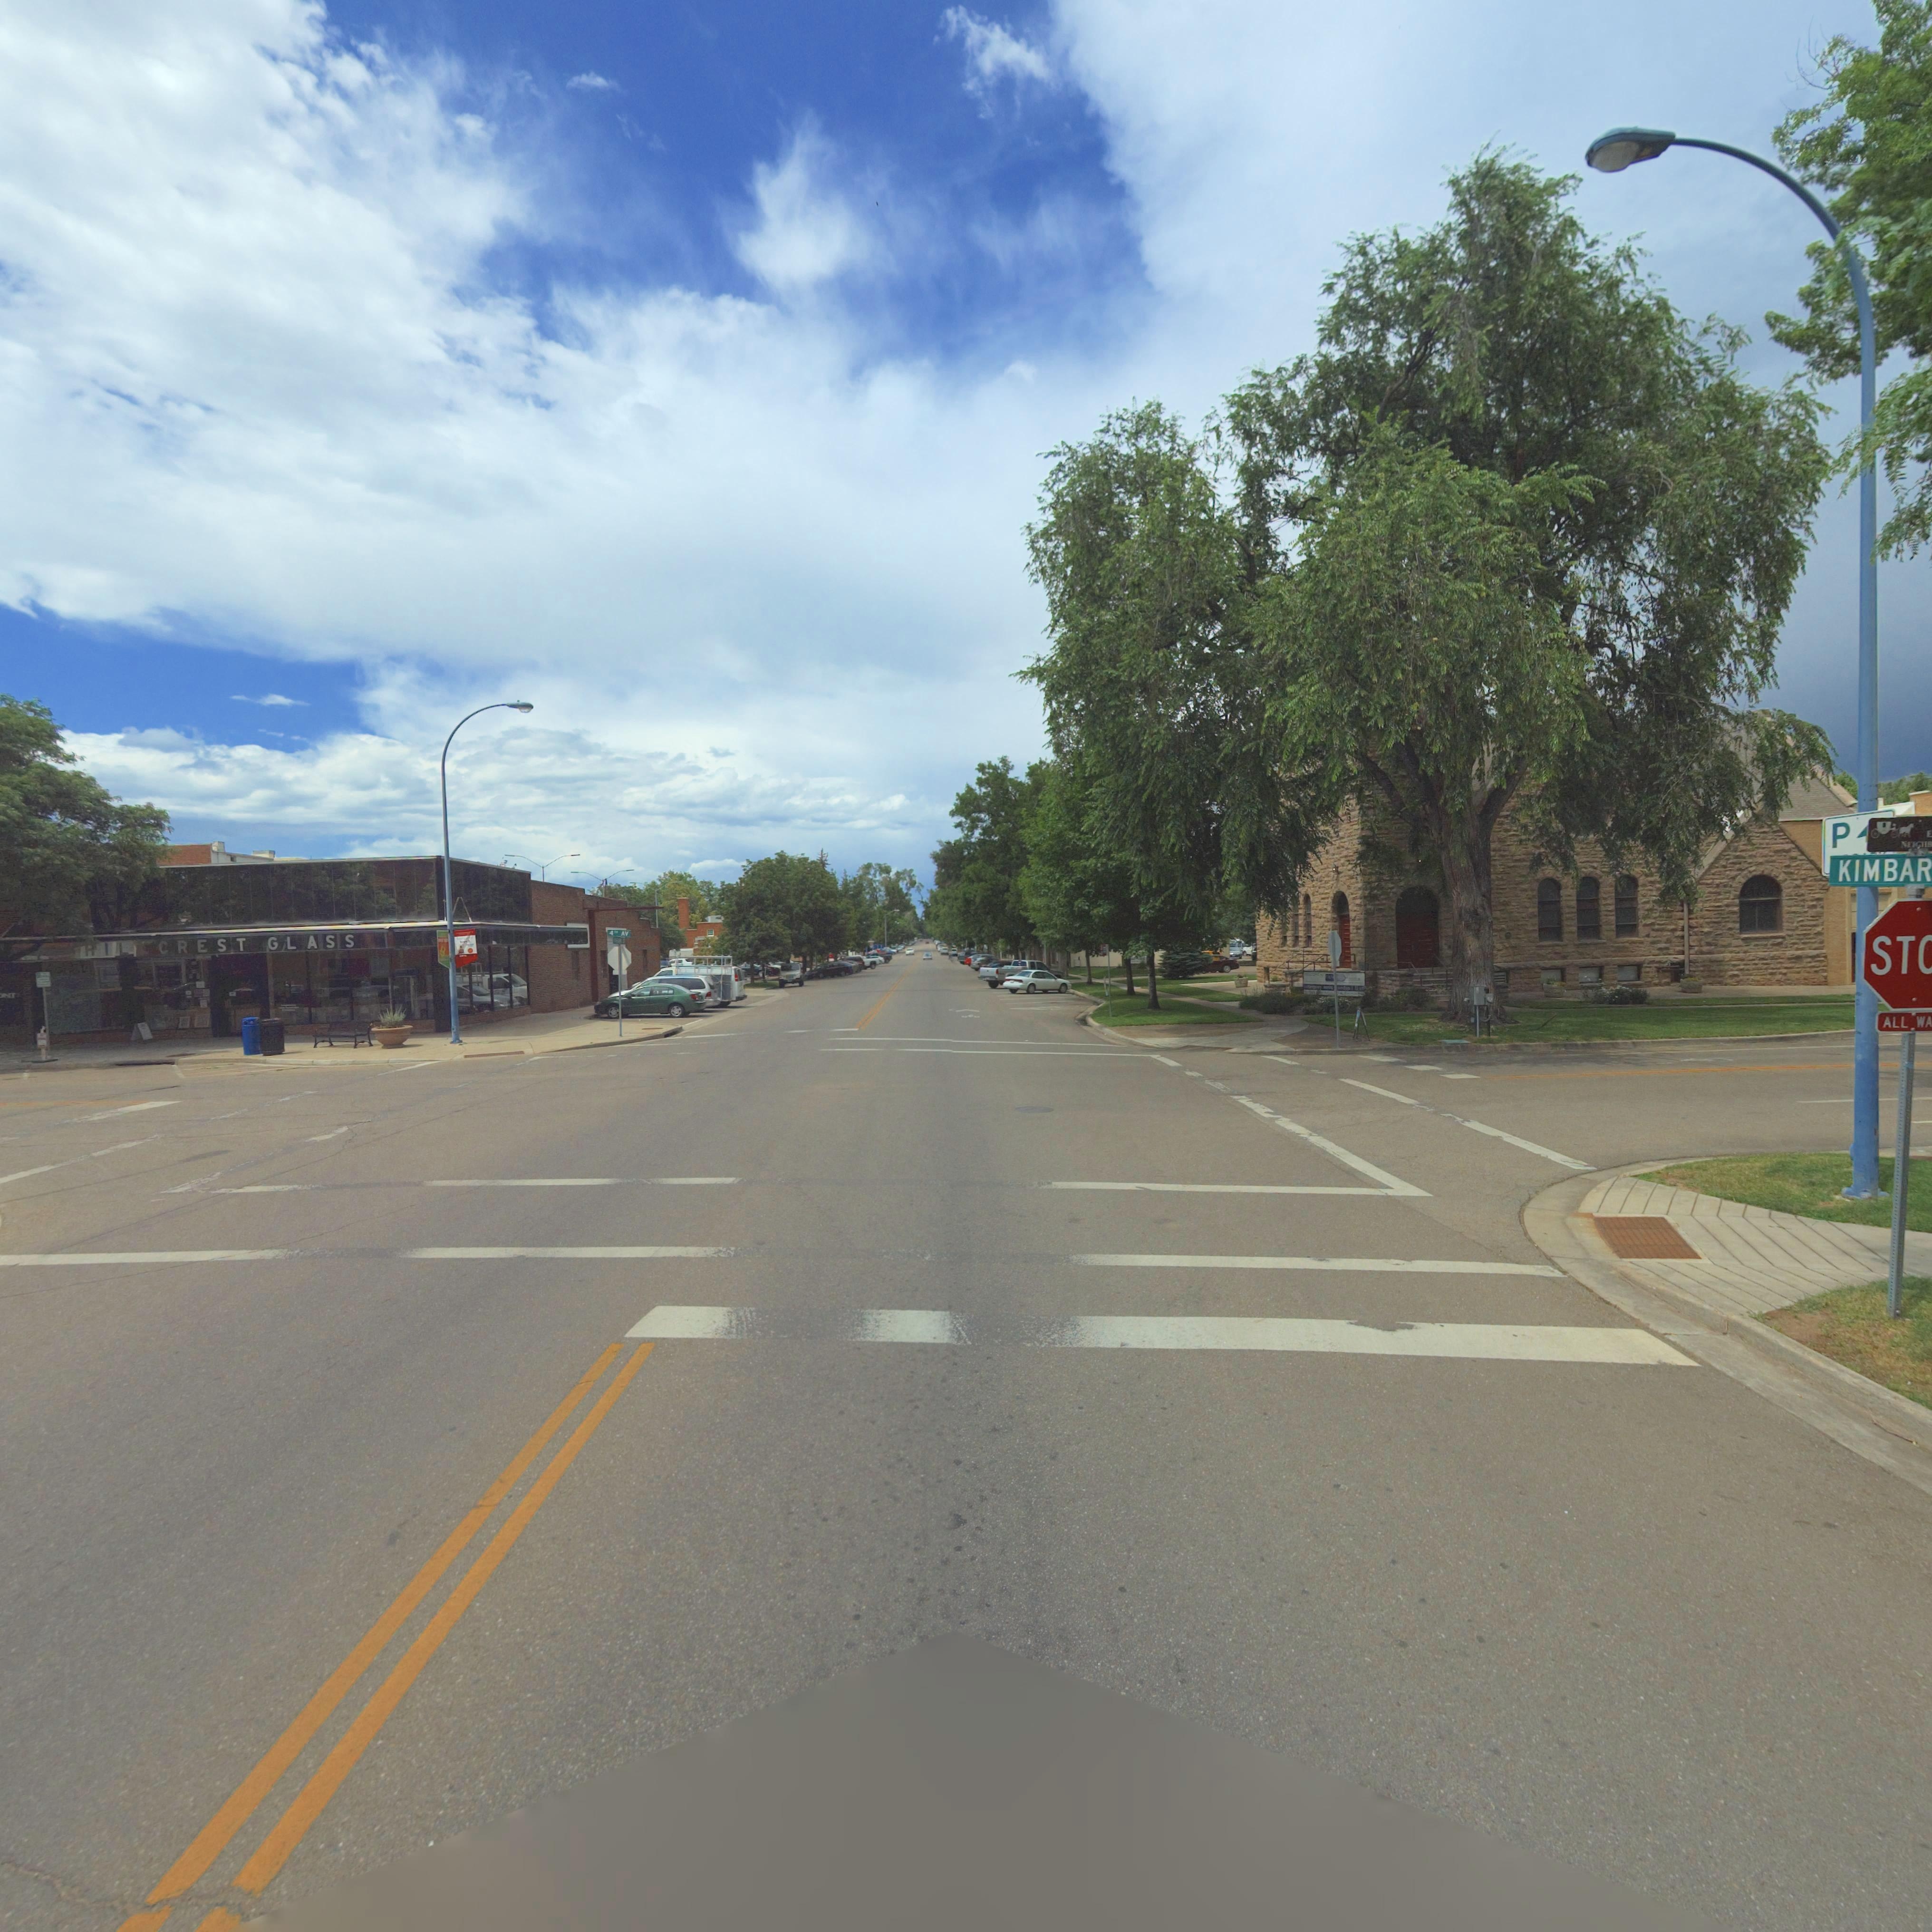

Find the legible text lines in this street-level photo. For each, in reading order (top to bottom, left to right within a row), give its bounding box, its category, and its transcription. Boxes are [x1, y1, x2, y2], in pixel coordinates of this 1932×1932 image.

[1838, 858, 1915, 882] StreetName: KIMBA
[609, 930, 629, 936] StreetName: 4TH AV